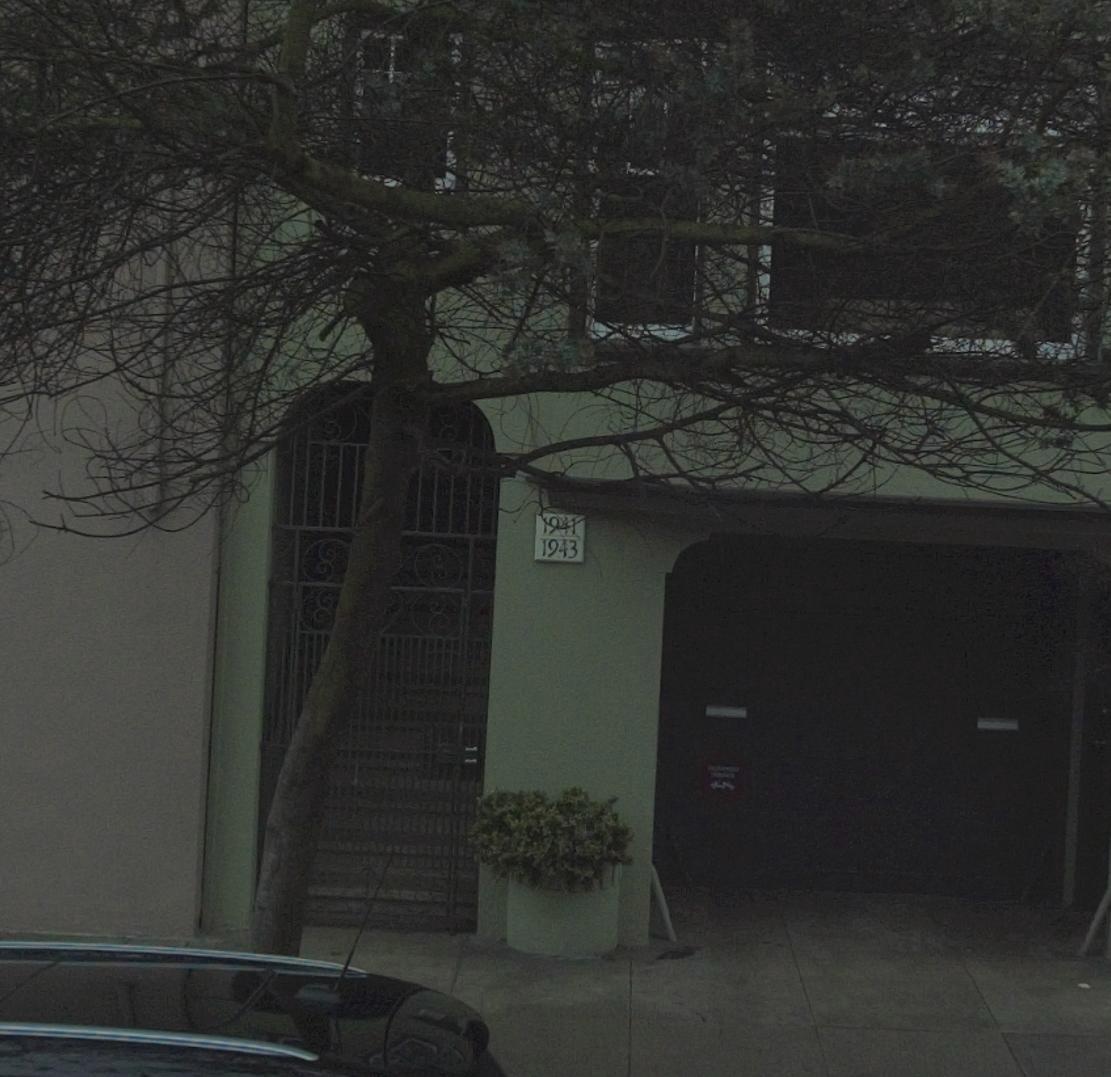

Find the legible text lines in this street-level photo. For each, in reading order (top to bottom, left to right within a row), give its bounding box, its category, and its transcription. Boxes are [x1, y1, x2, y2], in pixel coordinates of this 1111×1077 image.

[541, 515, 578, 537] StreetNumber: 1941
[539, 536, 579, 560] StreetNumber: 1943